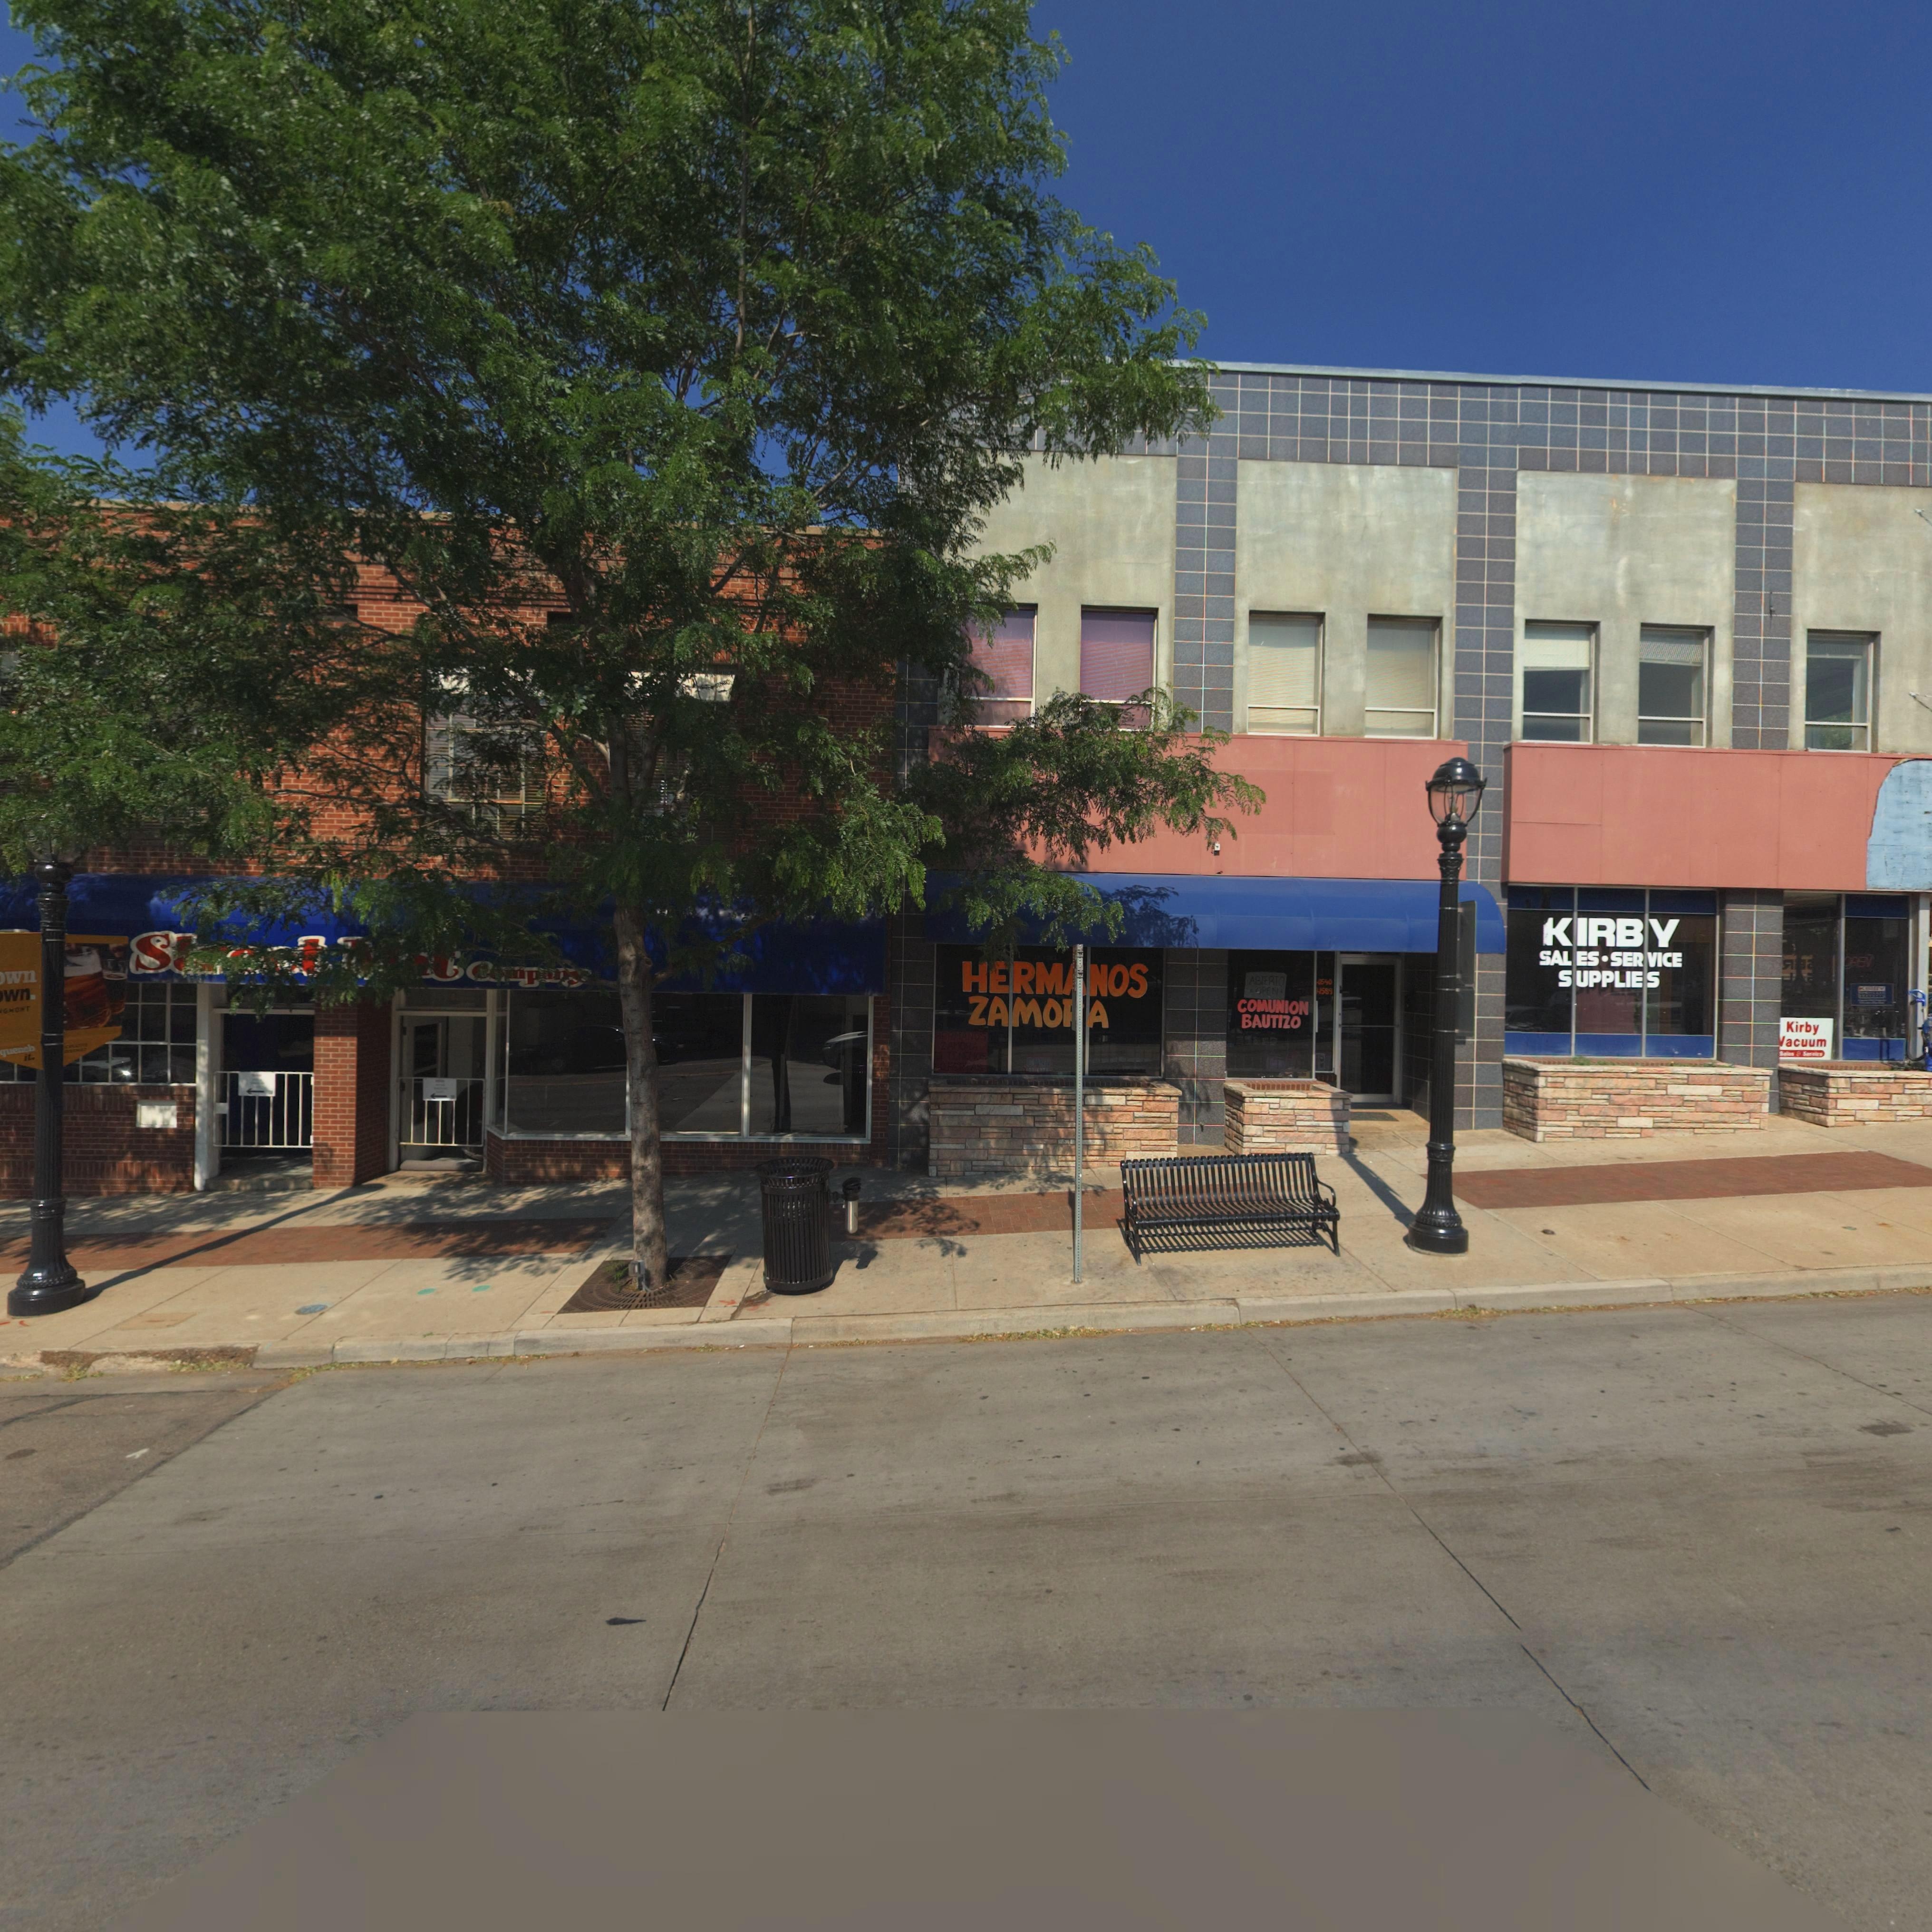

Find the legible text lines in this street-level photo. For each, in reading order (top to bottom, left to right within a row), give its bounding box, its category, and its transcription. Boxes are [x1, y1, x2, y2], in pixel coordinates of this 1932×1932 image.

[1541, 915, 1681, 948] BusinessName: KIRBY
[127, 928, 595, 989] BusinessName: S***** *** C*mp***
[959, 959, 1150, 999] BusinessName: HERM*NOS
[966, 995, 1110, 1029] BusinessName:  ZAMO*A
[1786, 1020, 1820, 1035] BusinessName: Kirby